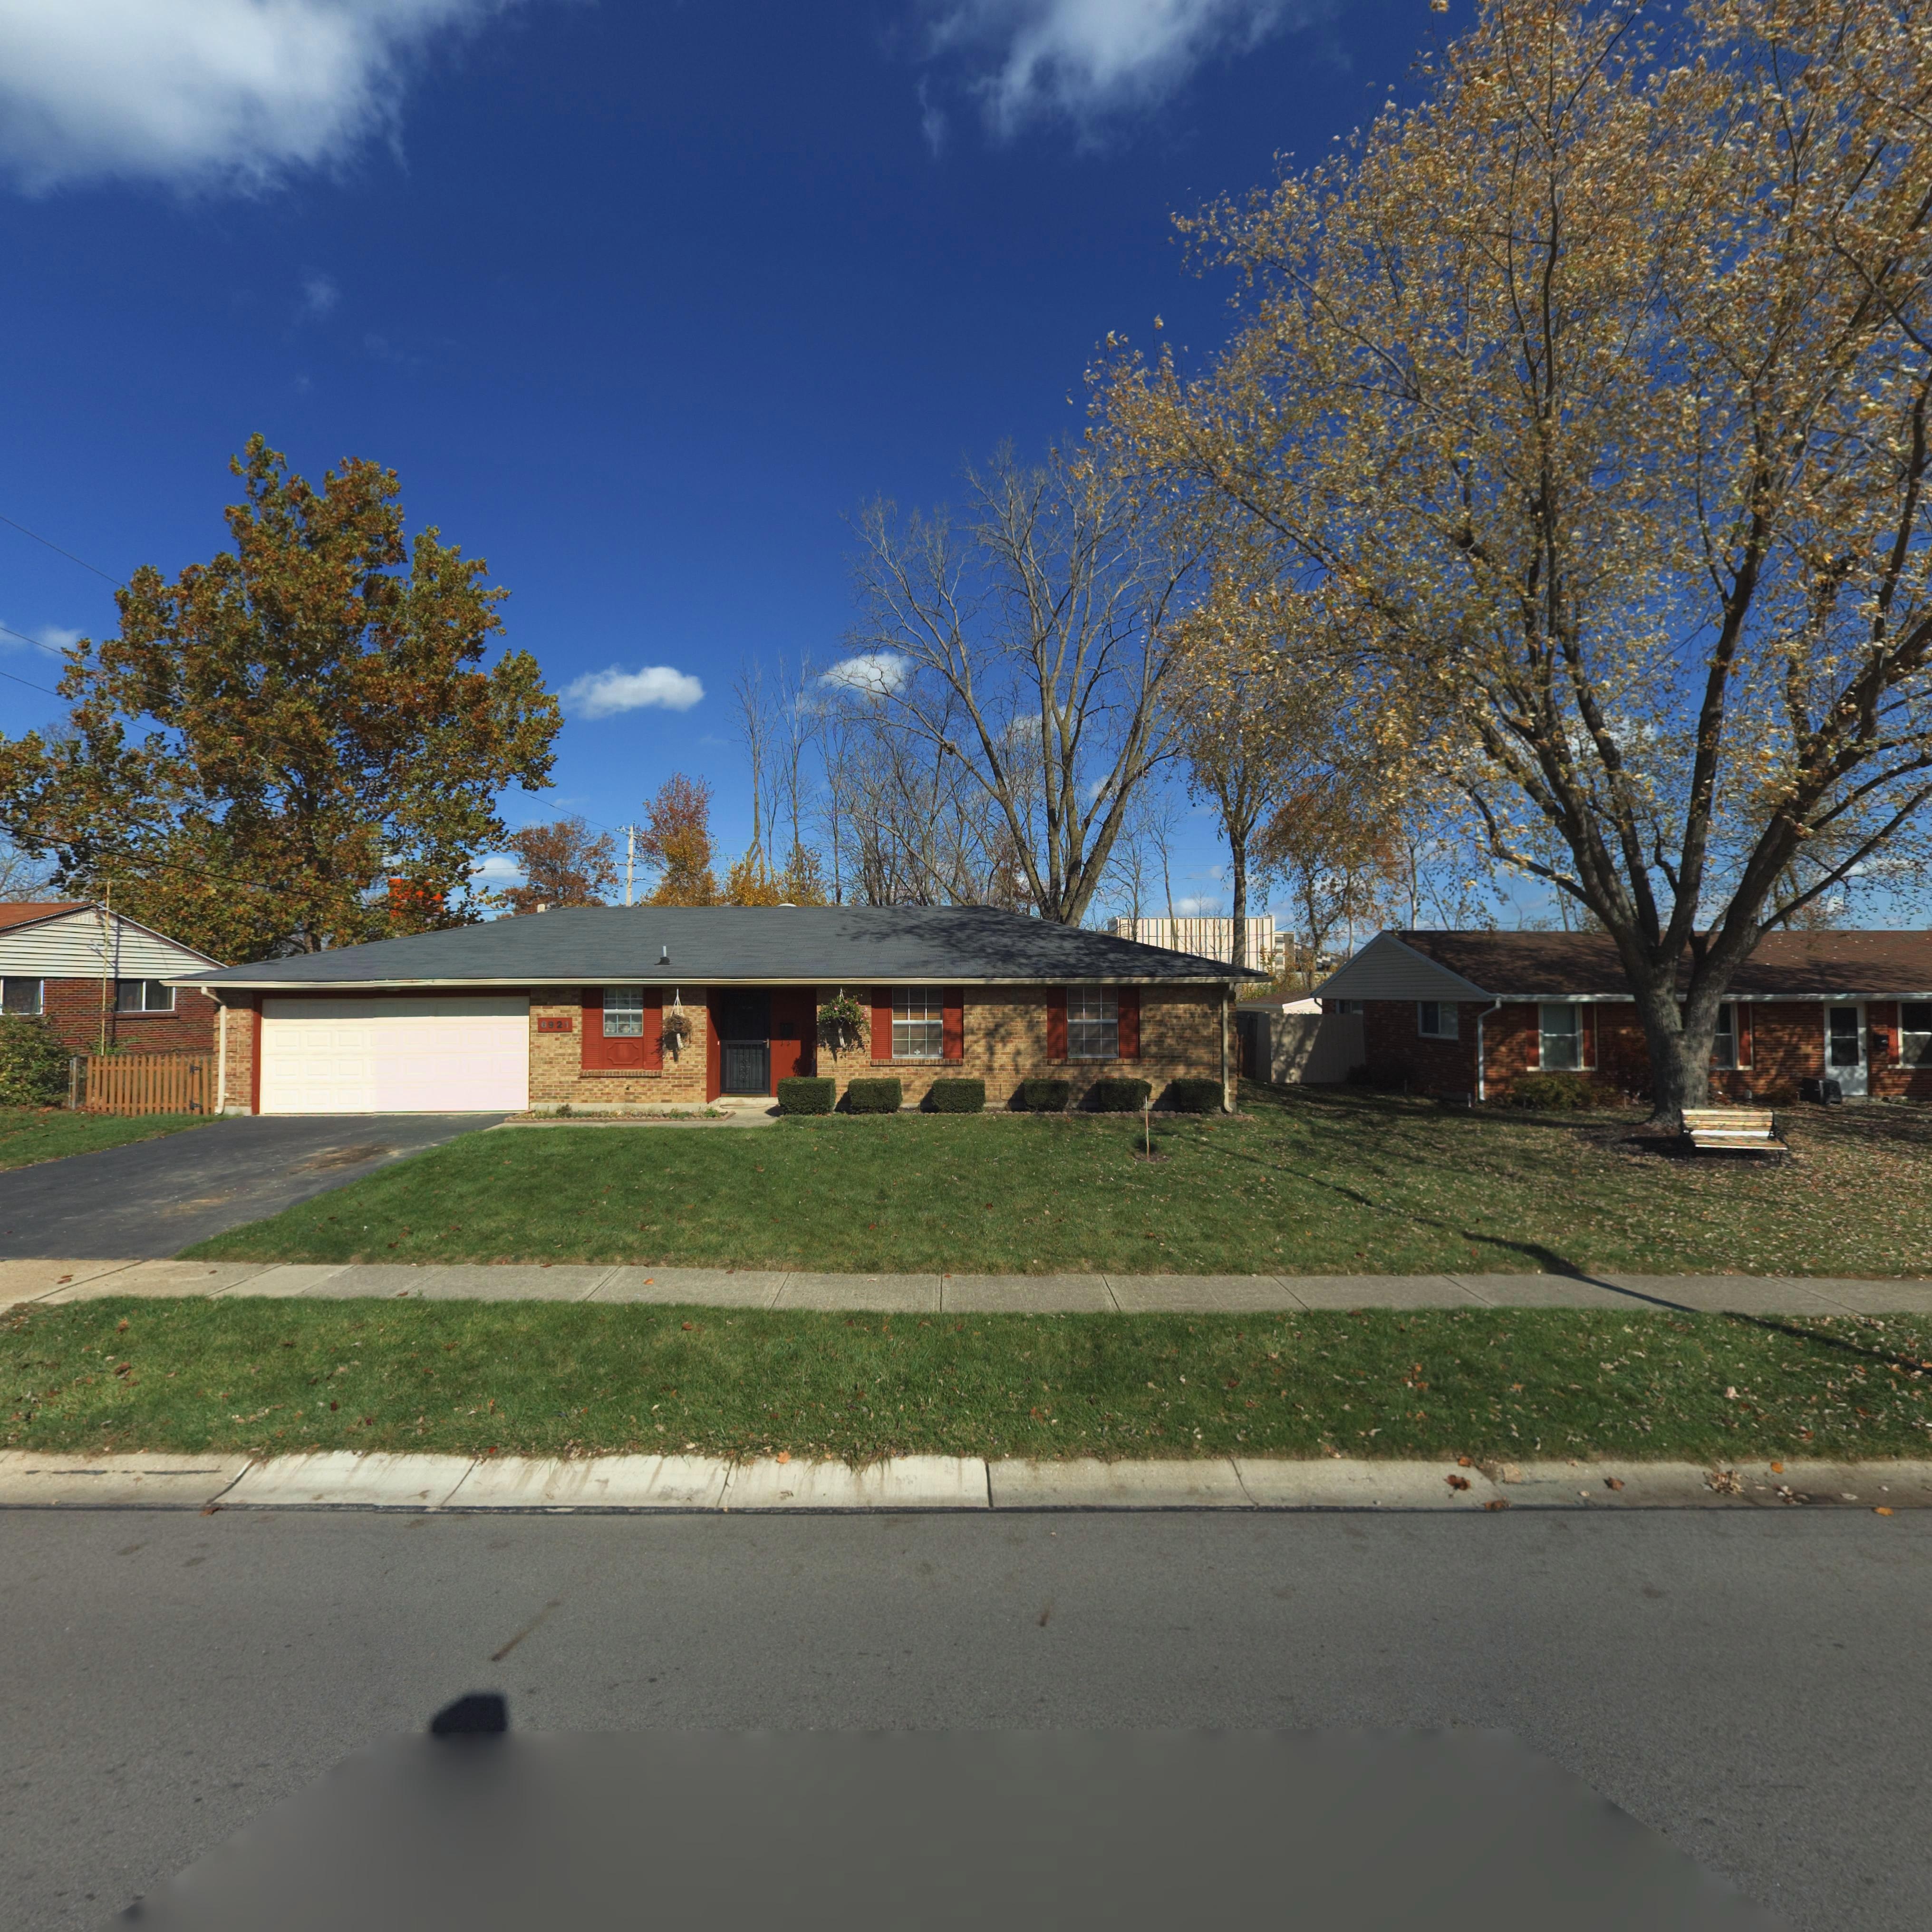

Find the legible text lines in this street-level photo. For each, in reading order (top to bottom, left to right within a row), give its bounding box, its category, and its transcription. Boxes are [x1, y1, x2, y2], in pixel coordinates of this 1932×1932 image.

[540, 1019, 570, 1030] StreetNumber: 6921